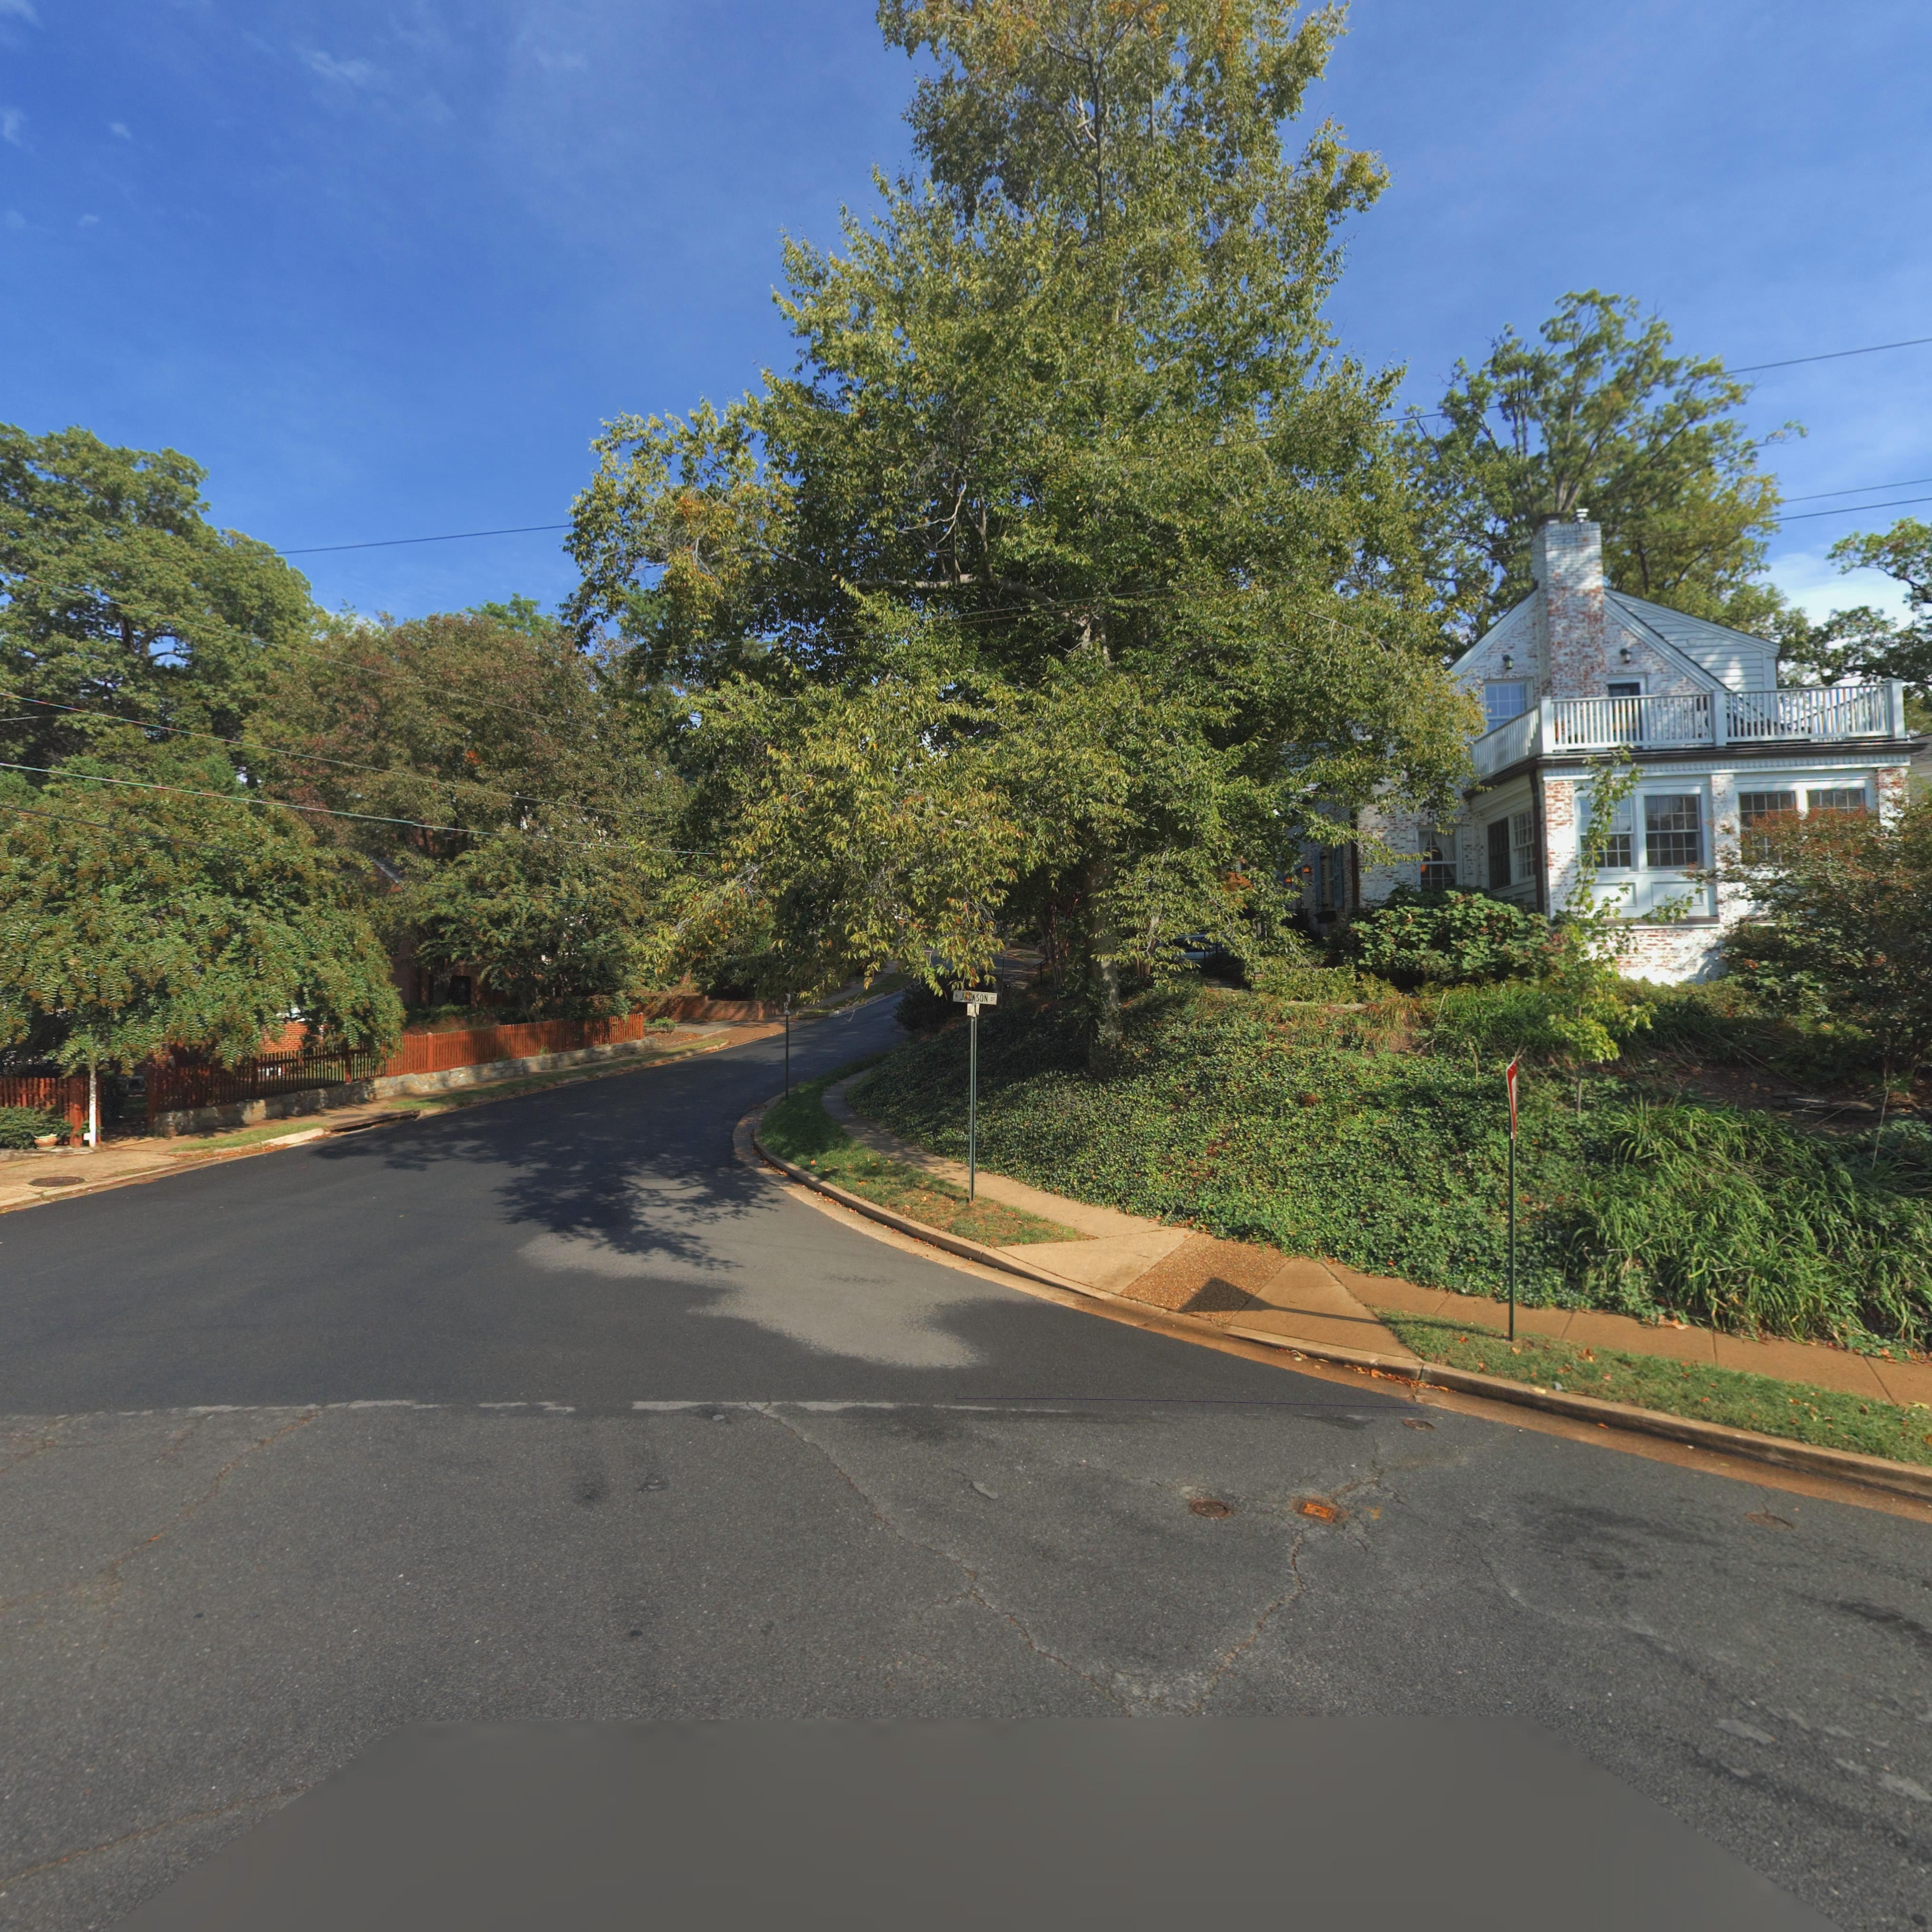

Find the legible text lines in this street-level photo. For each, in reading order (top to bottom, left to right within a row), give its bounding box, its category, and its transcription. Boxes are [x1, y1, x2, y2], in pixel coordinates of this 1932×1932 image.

[953, 991, 996, 1004] StreetName: N J**KSON ST